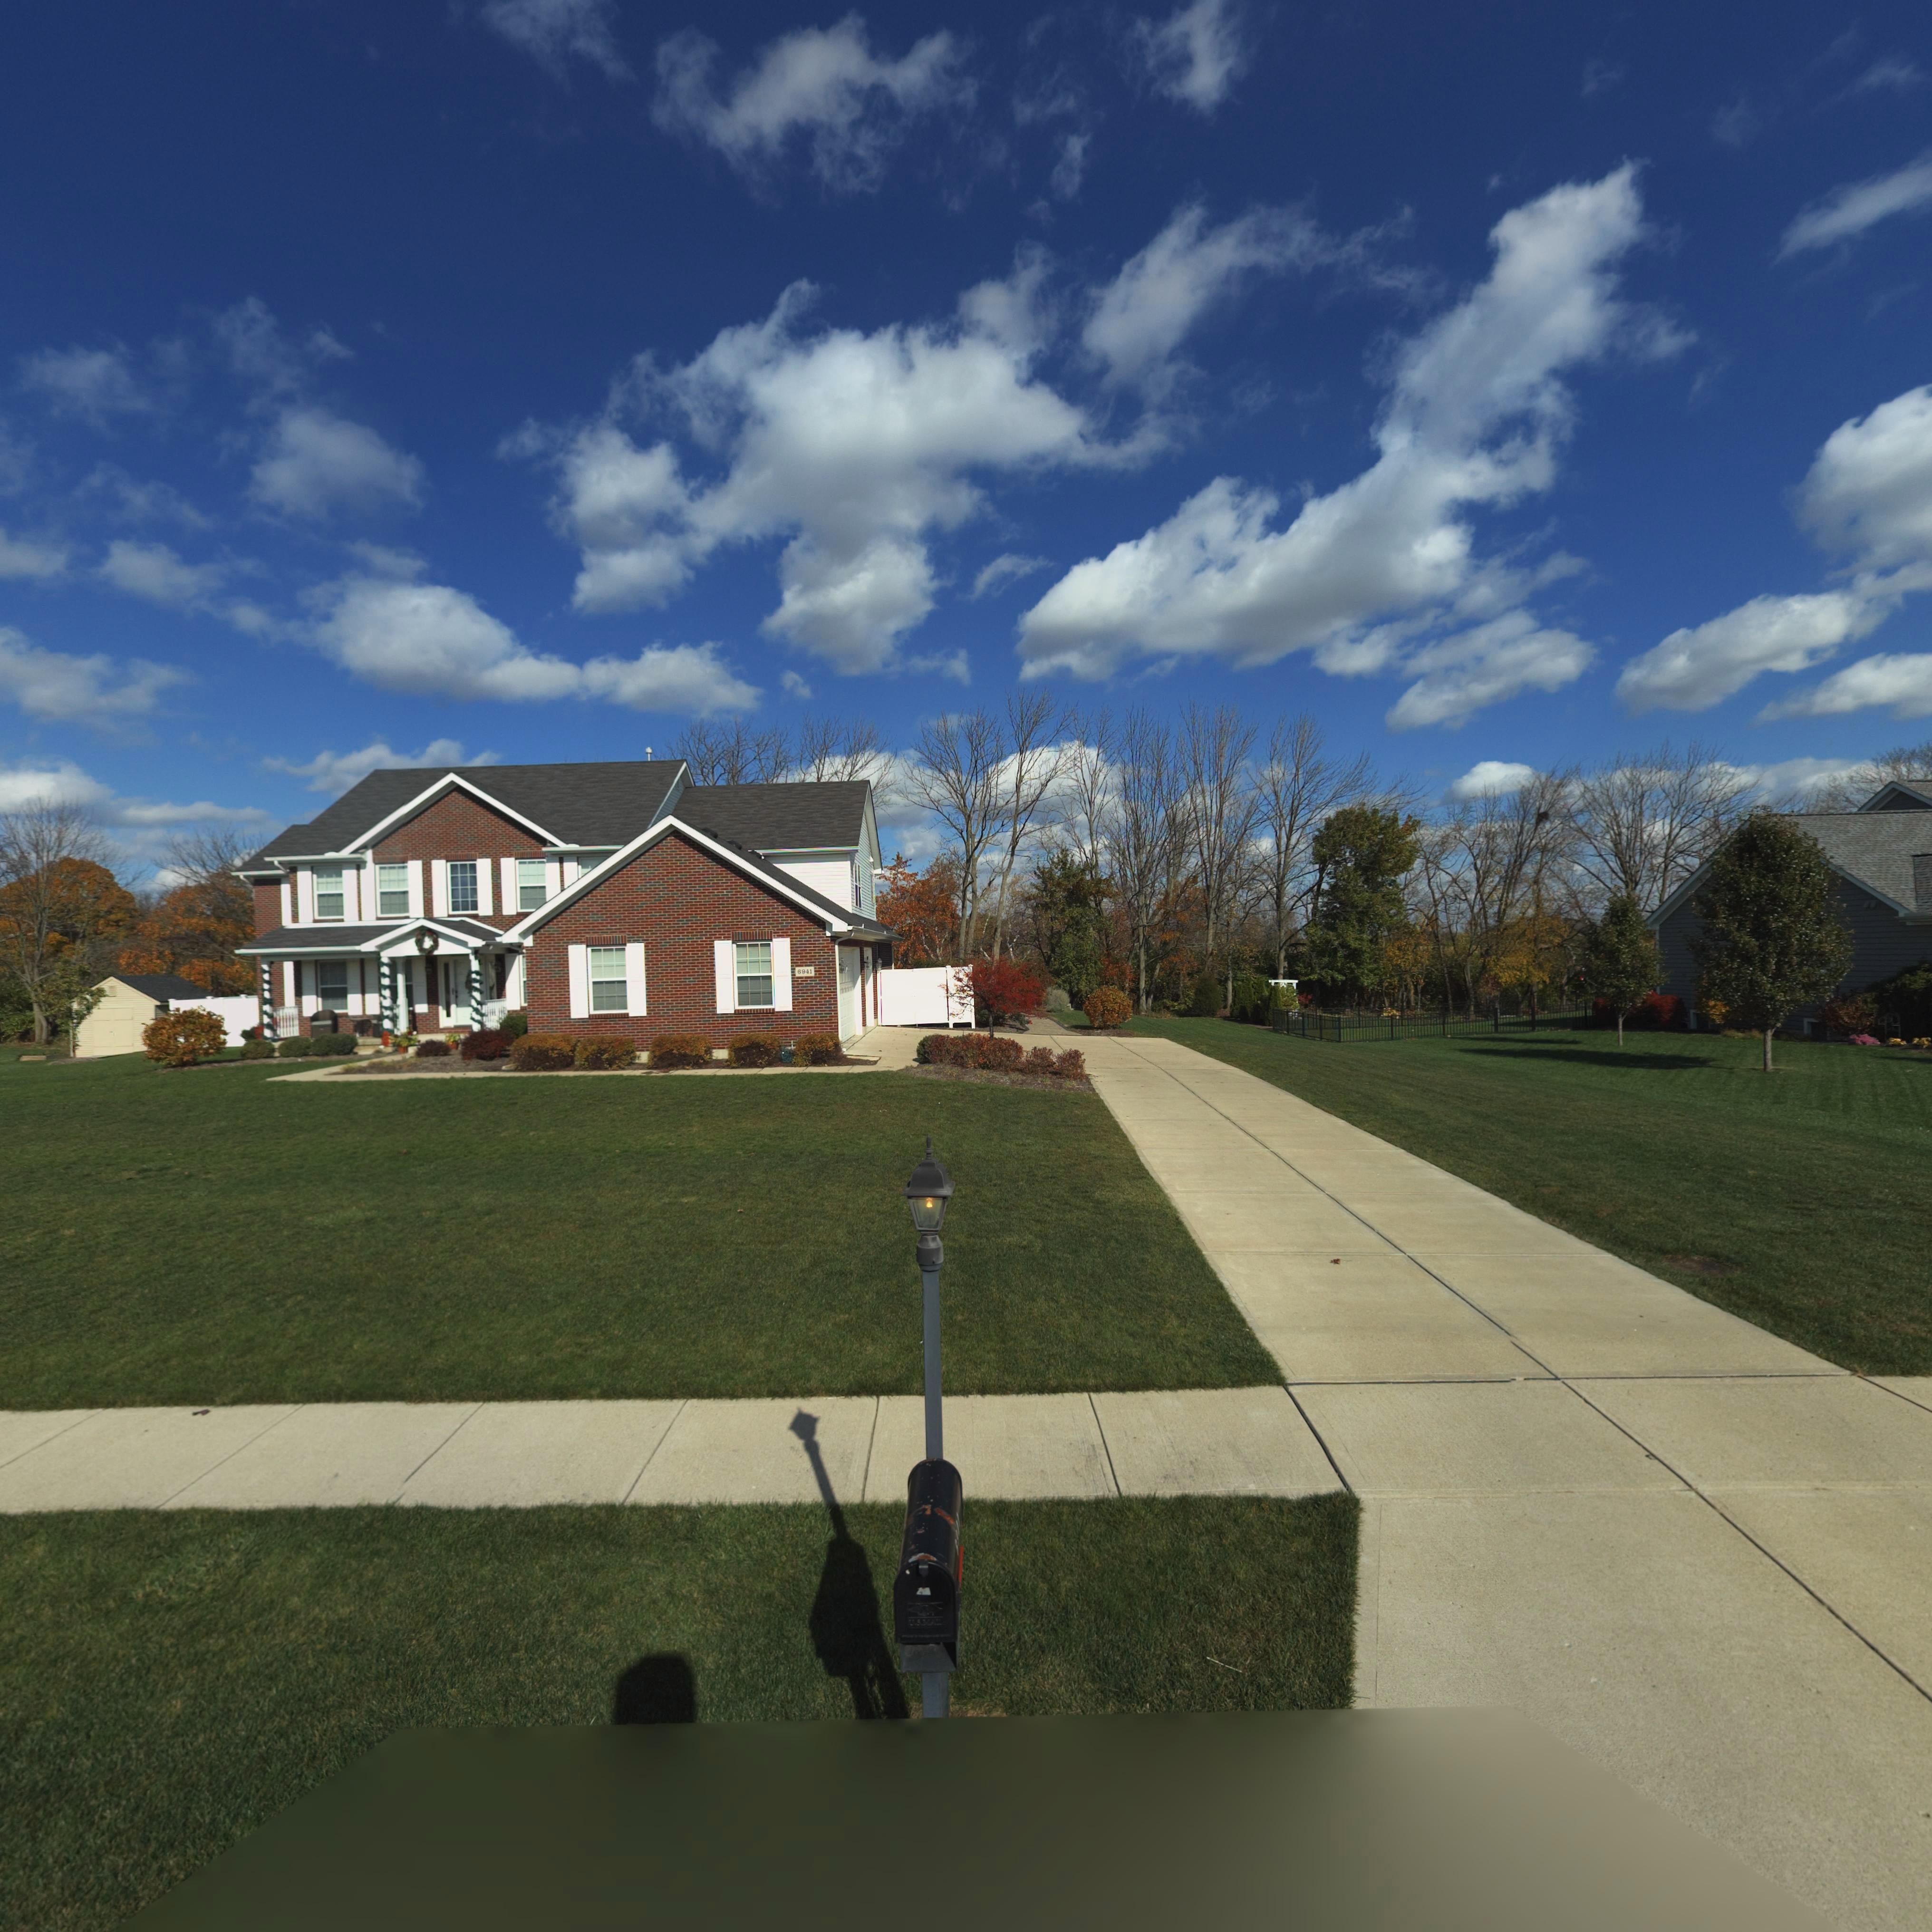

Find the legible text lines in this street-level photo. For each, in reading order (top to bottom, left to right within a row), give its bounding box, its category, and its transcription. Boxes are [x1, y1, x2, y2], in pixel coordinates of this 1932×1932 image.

[797, 969, 812, 975] StreetNumber: 6941